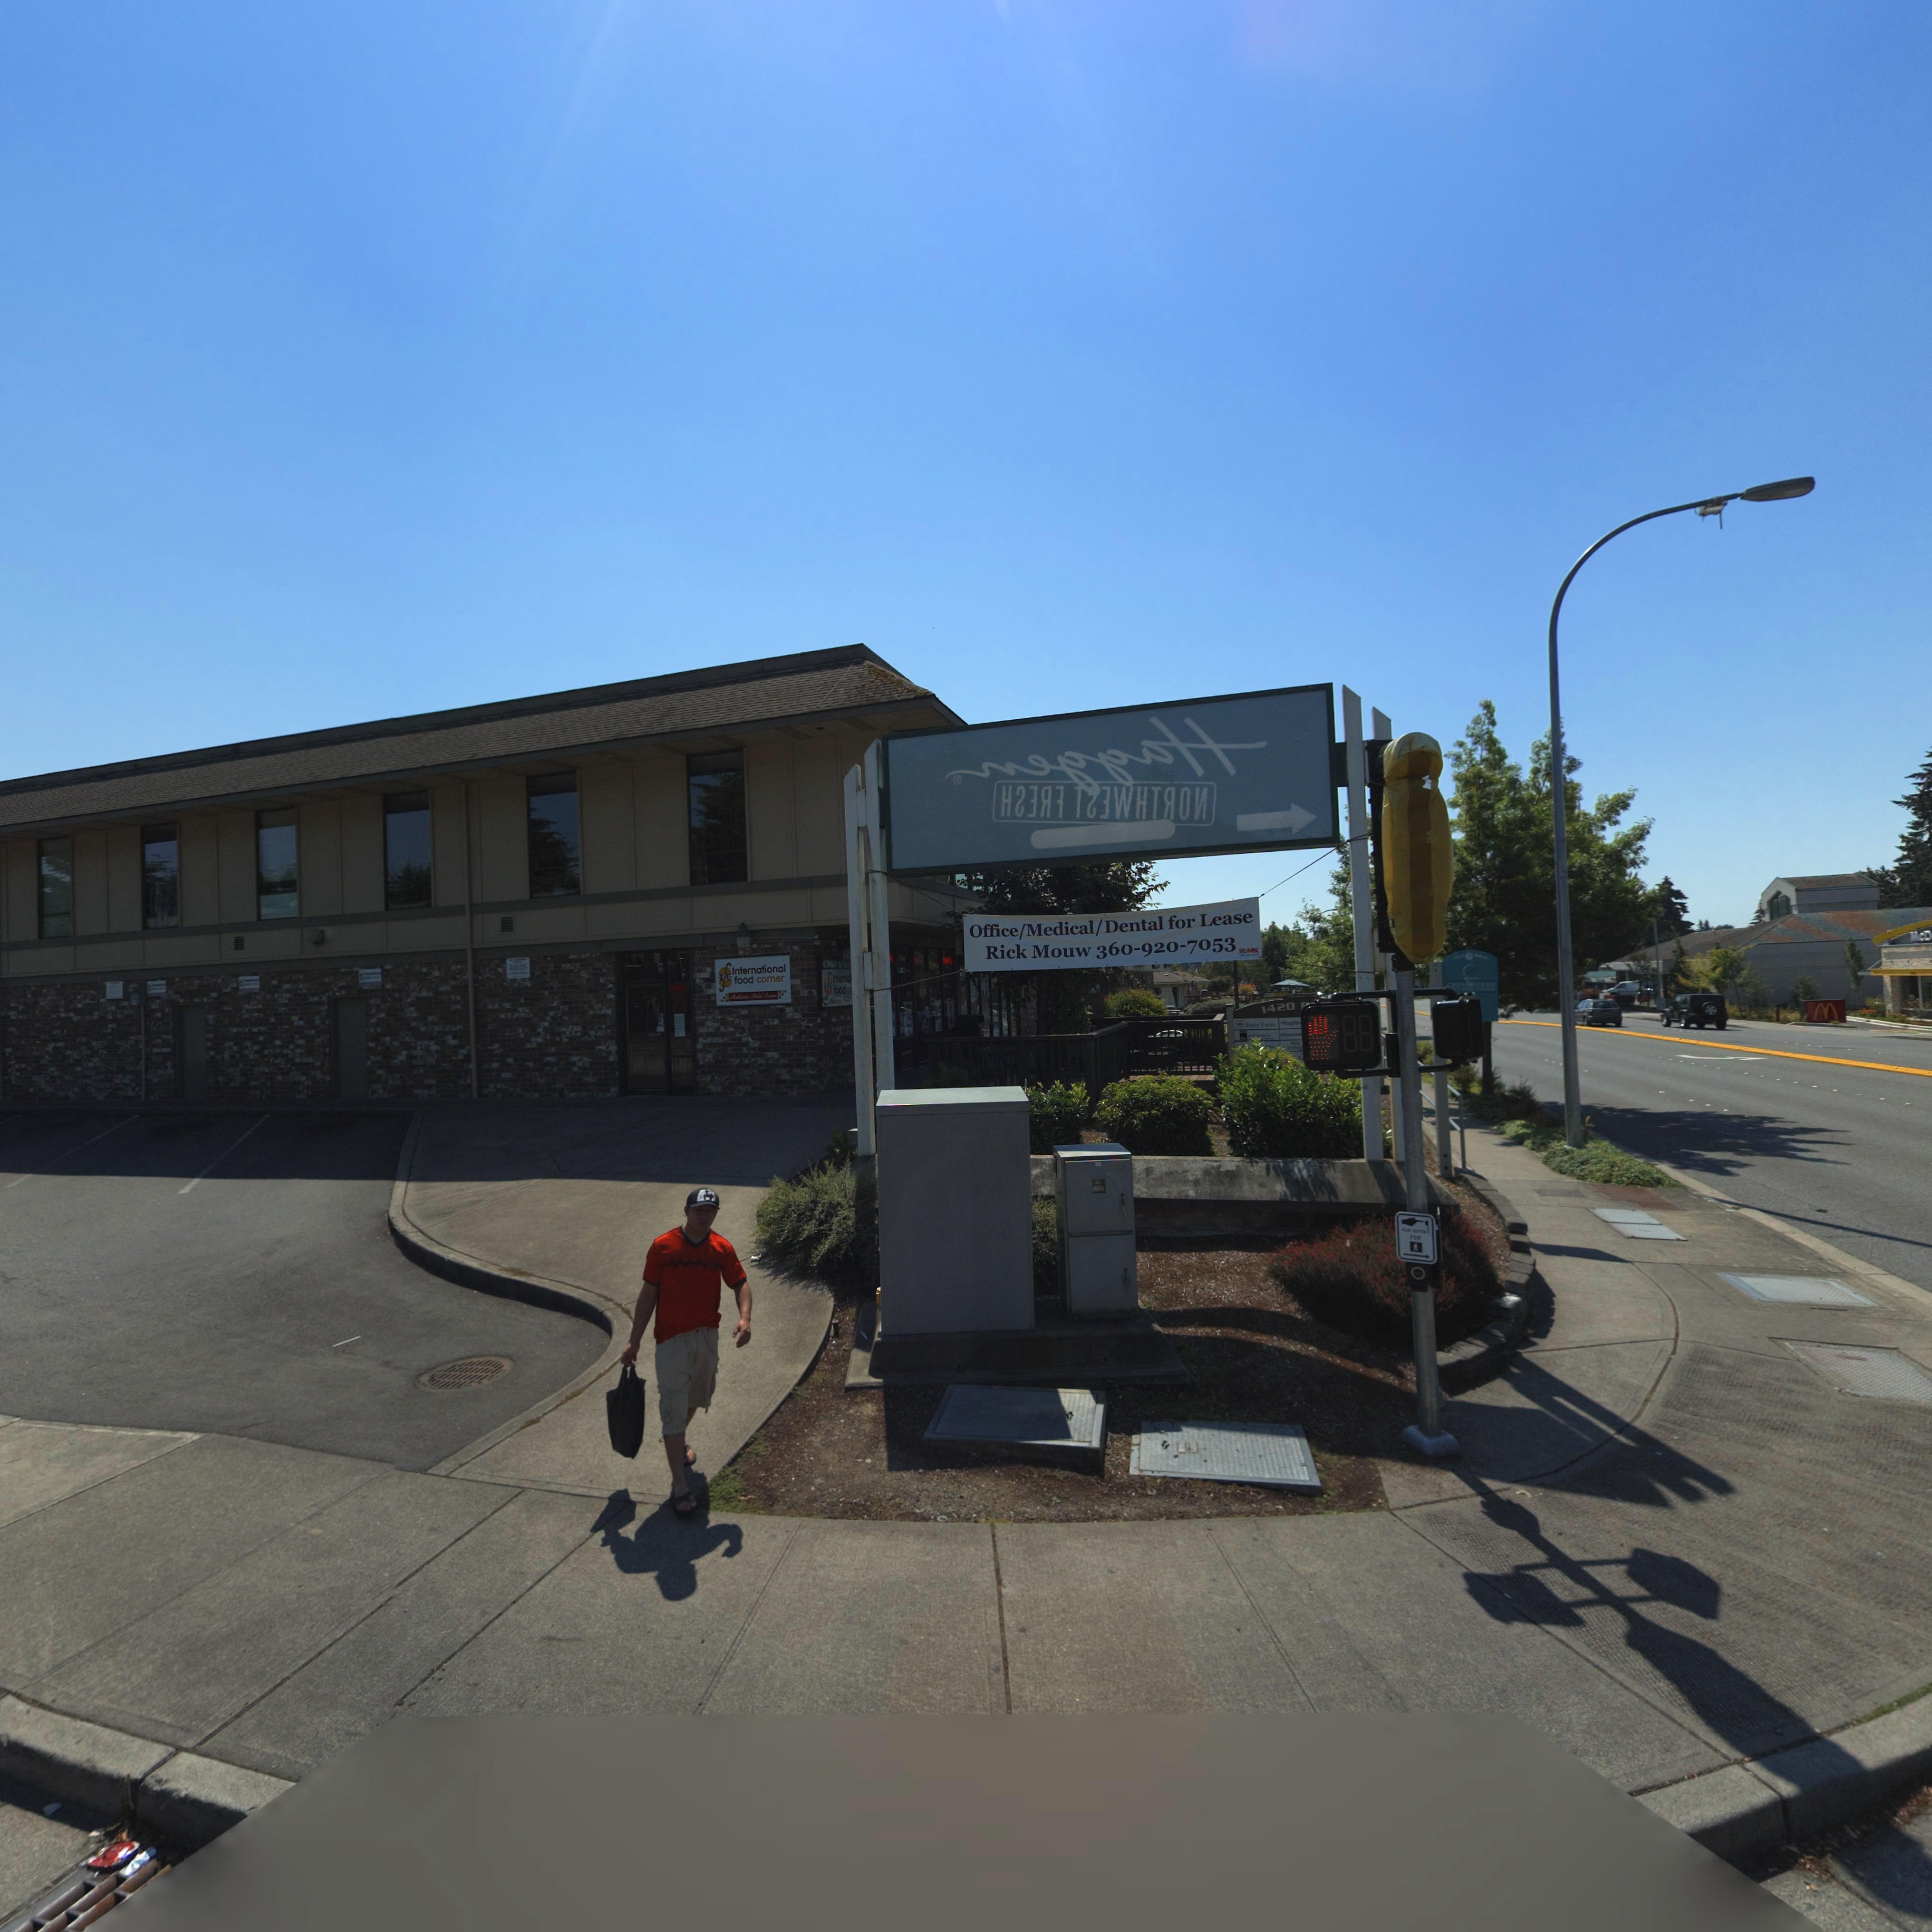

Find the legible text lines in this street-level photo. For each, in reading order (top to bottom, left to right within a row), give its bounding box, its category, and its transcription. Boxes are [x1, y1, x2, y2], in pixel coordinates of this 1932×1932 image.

[731, 964, 787, 975] BusinessName: International
[733, 974, 755, 984] BusinessName: food
[756, 975, 785, 983] BusinessName: corner
[1258, 1000, 1296, 1015] StreetNumber: 1420
[1245, 1022, 1276, 1028] BusinessName: State Farm
[1279, 1020, 1301, 1026] BusinessName: MugSh*